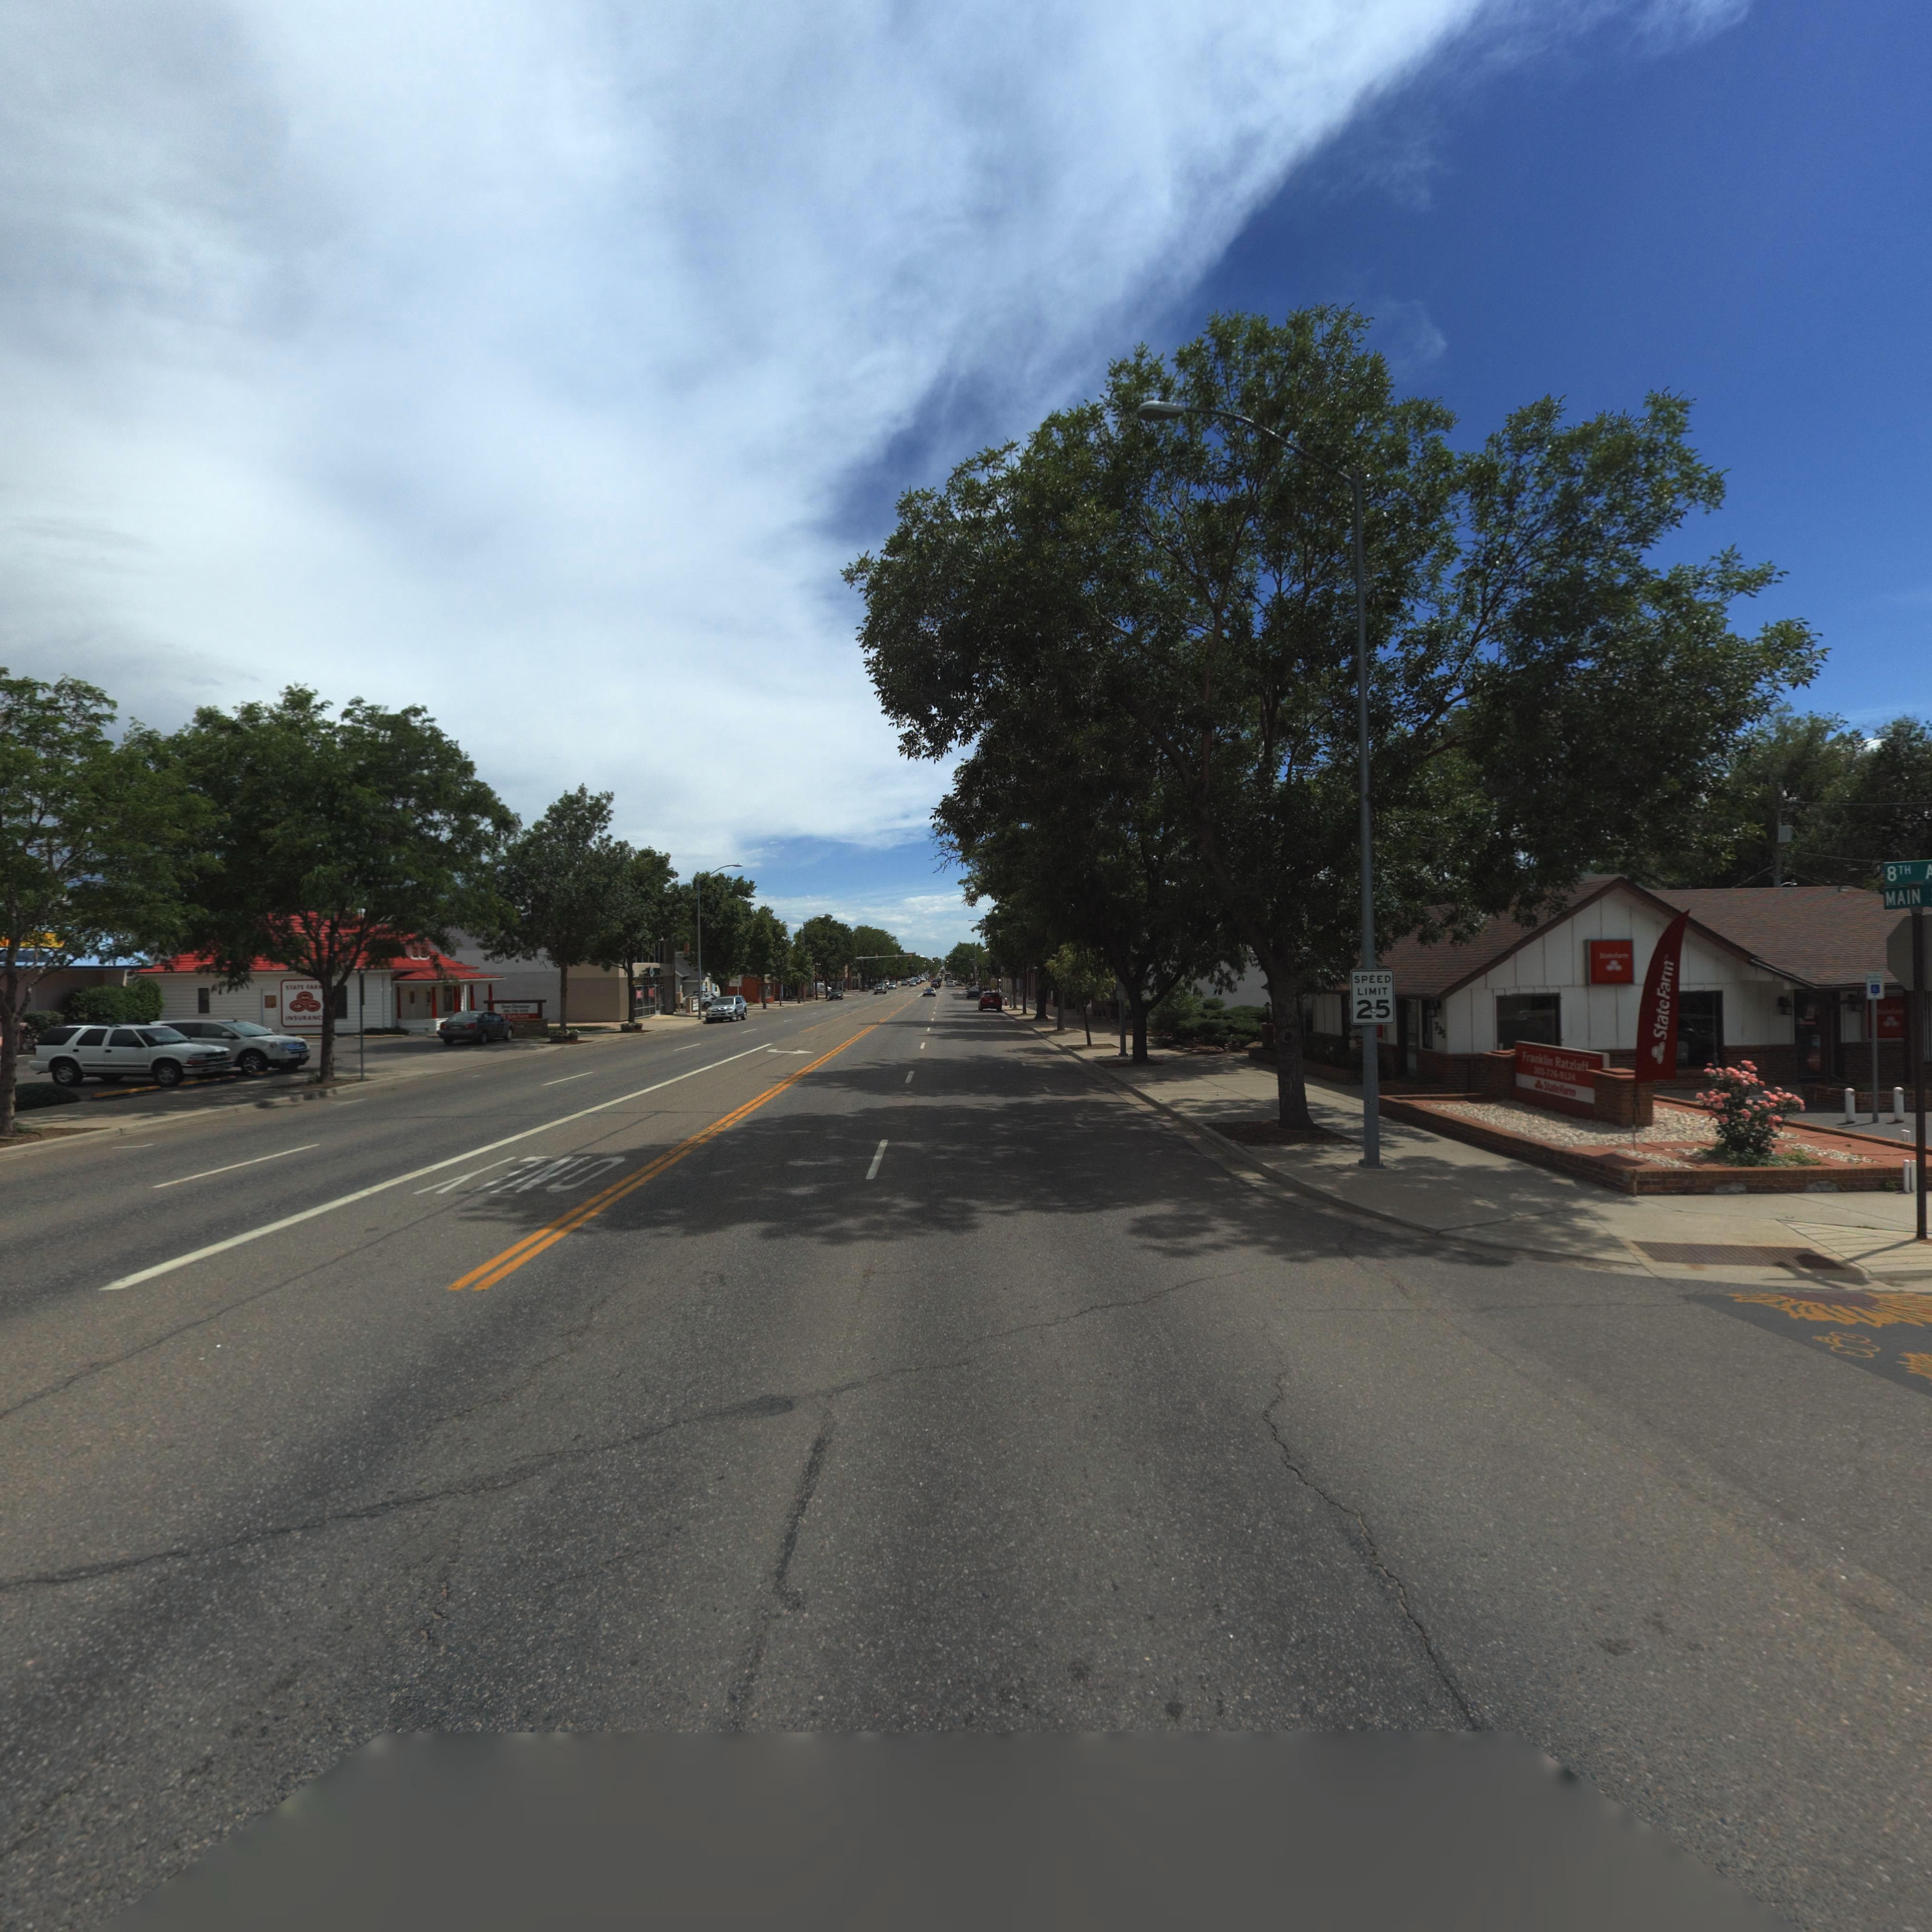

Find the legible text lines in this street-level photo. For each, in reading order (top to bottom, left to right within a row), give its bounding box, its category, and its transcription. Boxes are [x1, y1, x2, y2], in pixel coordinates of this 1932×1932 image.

[1886, 864, 1911, 882] StreetName: 8TH
[1885, 887, 1921, 907] StreetName: MAIN
[1599, 952, 1629, 958] BusinessName: State Farm
[285, 984, 318, 990] BusinessName: STATE FARM
[1652, 959, 1674, 1041] BusinessName: State Farm
[285, 1014, 322, 1021] BusinessName: INSURANCE
[506, 1014, 529, 1018] BusinessName: State Farm
[1875, 1008, 1903, 1015] BusinessName: *tate Far*
[1434, 1021, 1446, 1039] StreetNumber: 735
[1544, 1080, 1576, 1097] BusinessName: State Farm